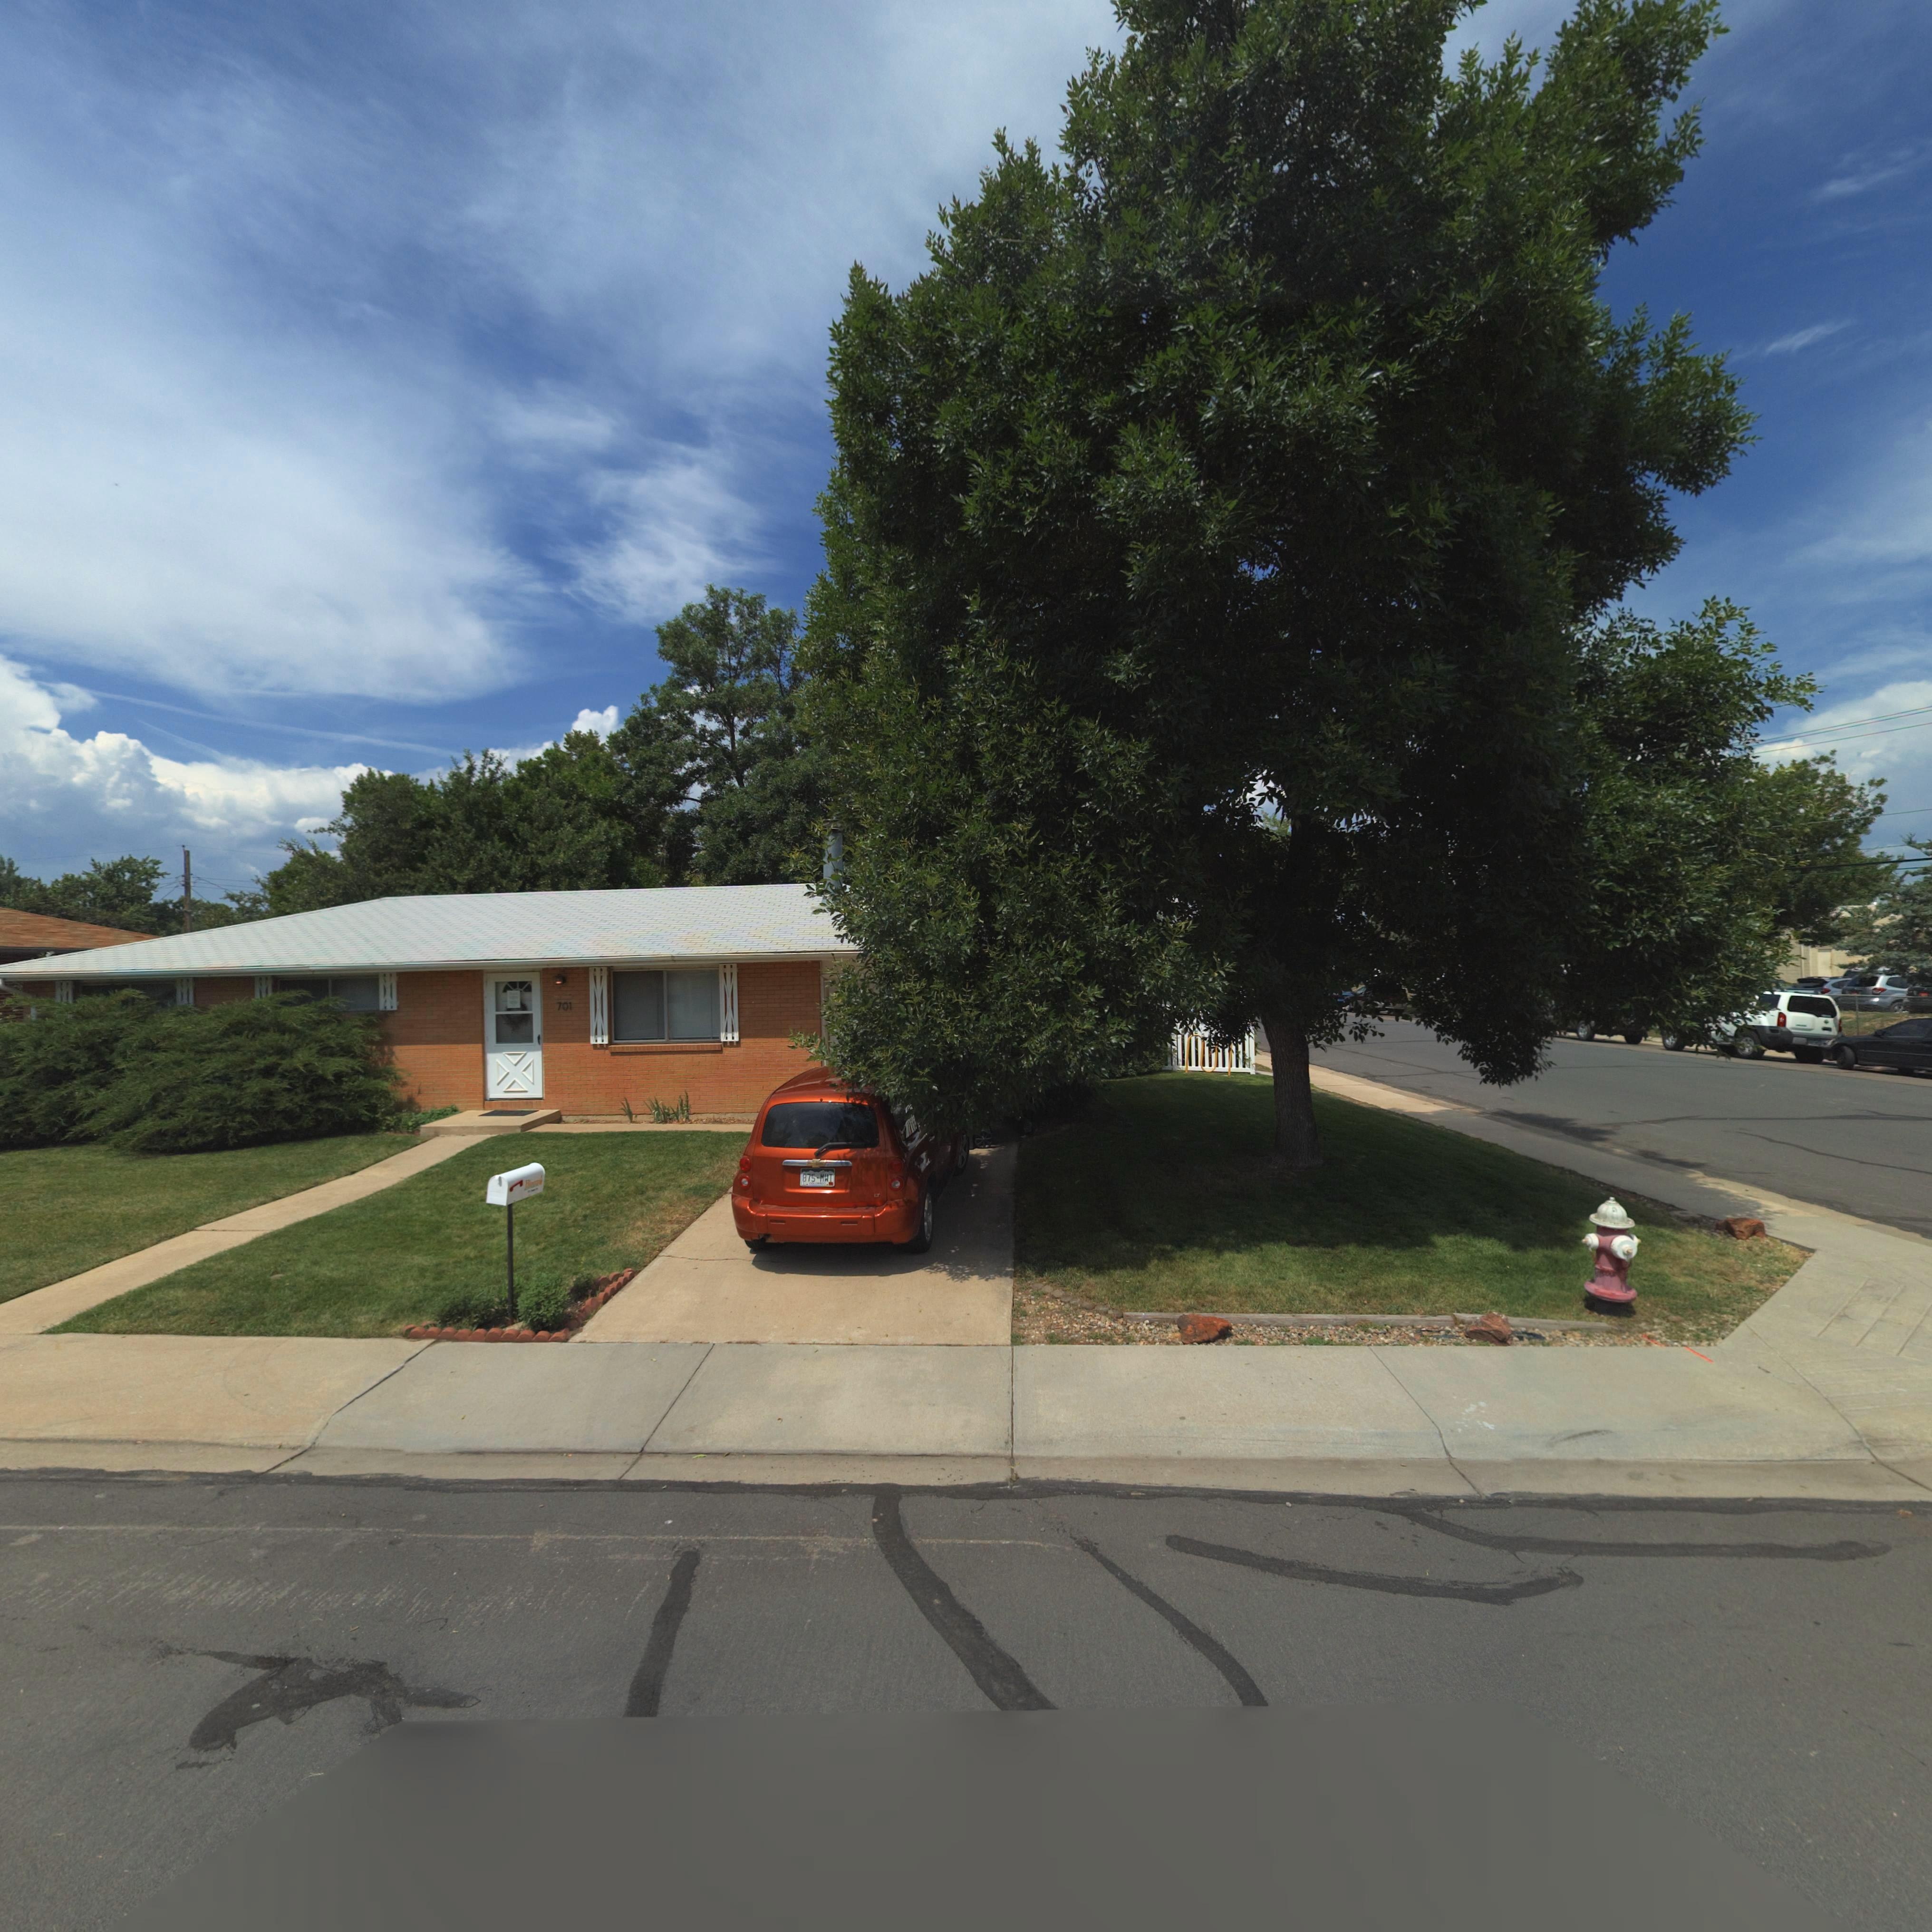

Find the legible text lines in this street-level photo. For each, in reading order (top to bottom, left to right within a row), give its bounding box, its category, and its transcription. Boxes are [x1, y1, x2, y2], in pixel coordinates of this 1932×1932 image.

[555, 1001, 573, 1011] StreetNumber: 701